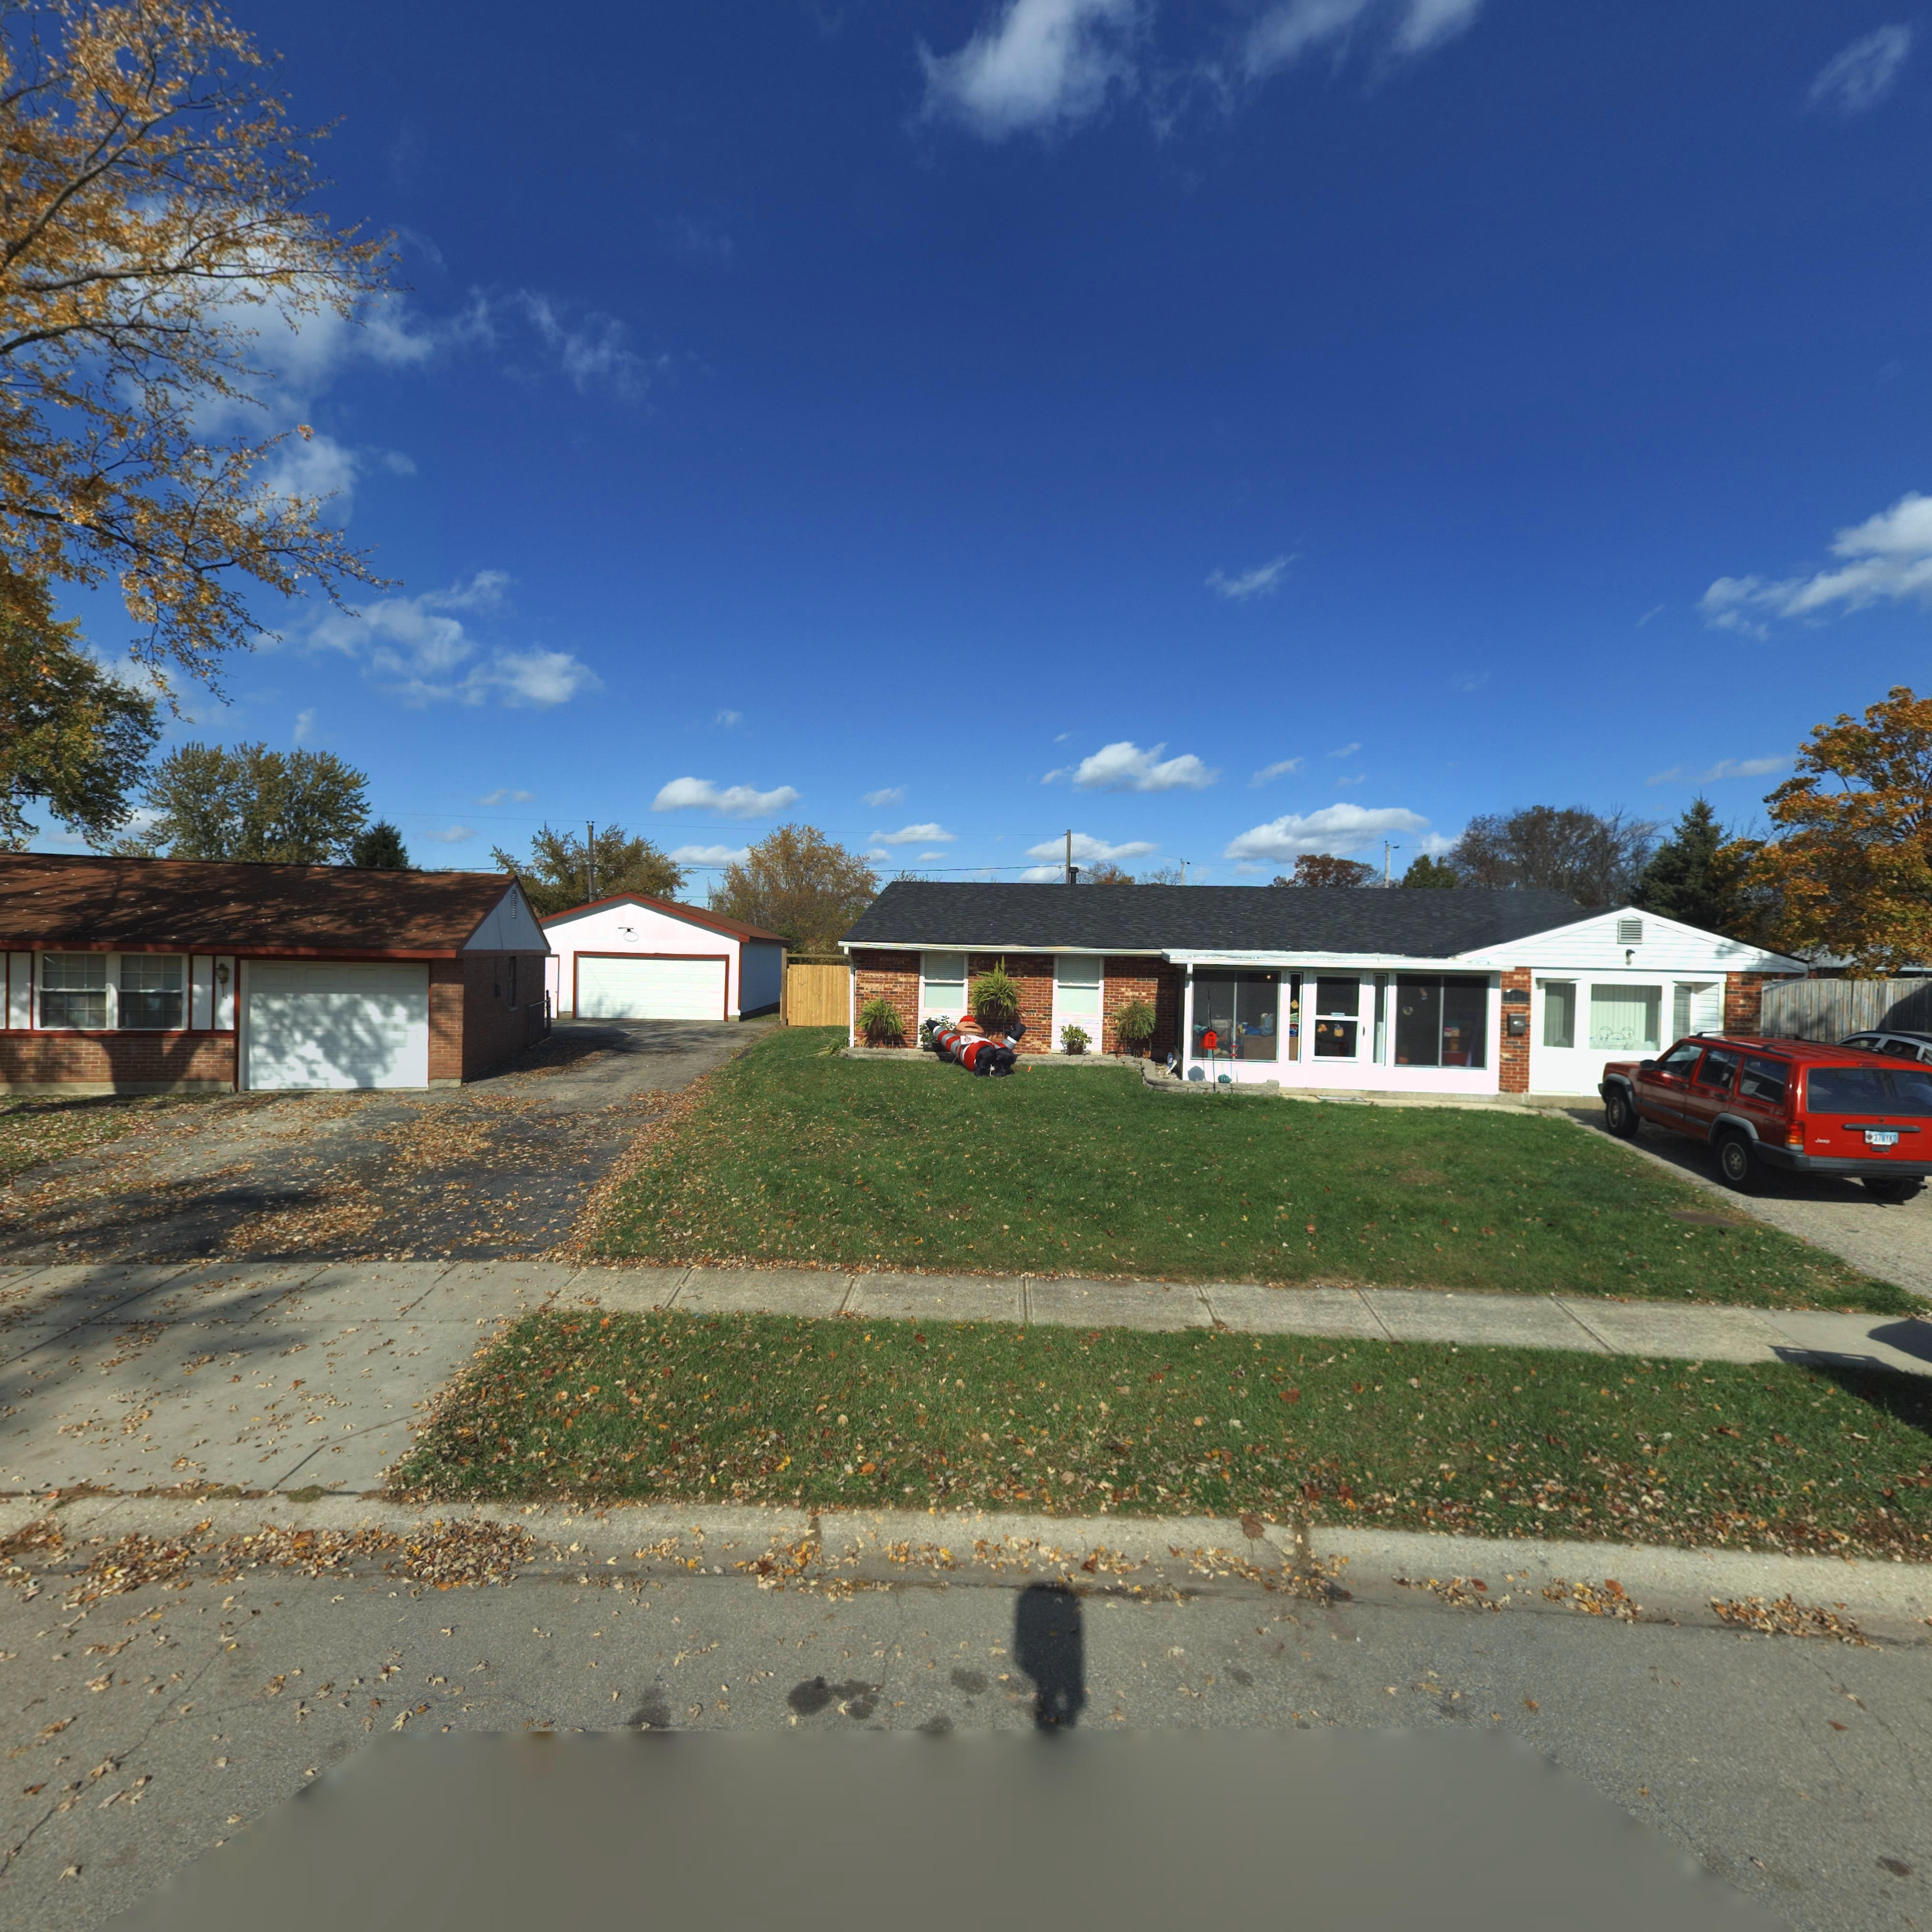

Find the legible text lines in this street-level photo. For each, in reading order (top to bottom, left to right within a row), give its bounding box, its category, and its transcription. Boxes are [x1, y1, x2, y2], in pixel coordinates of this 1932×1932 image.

[1505, 992, 1528, 1002] StreetNumber: 7803